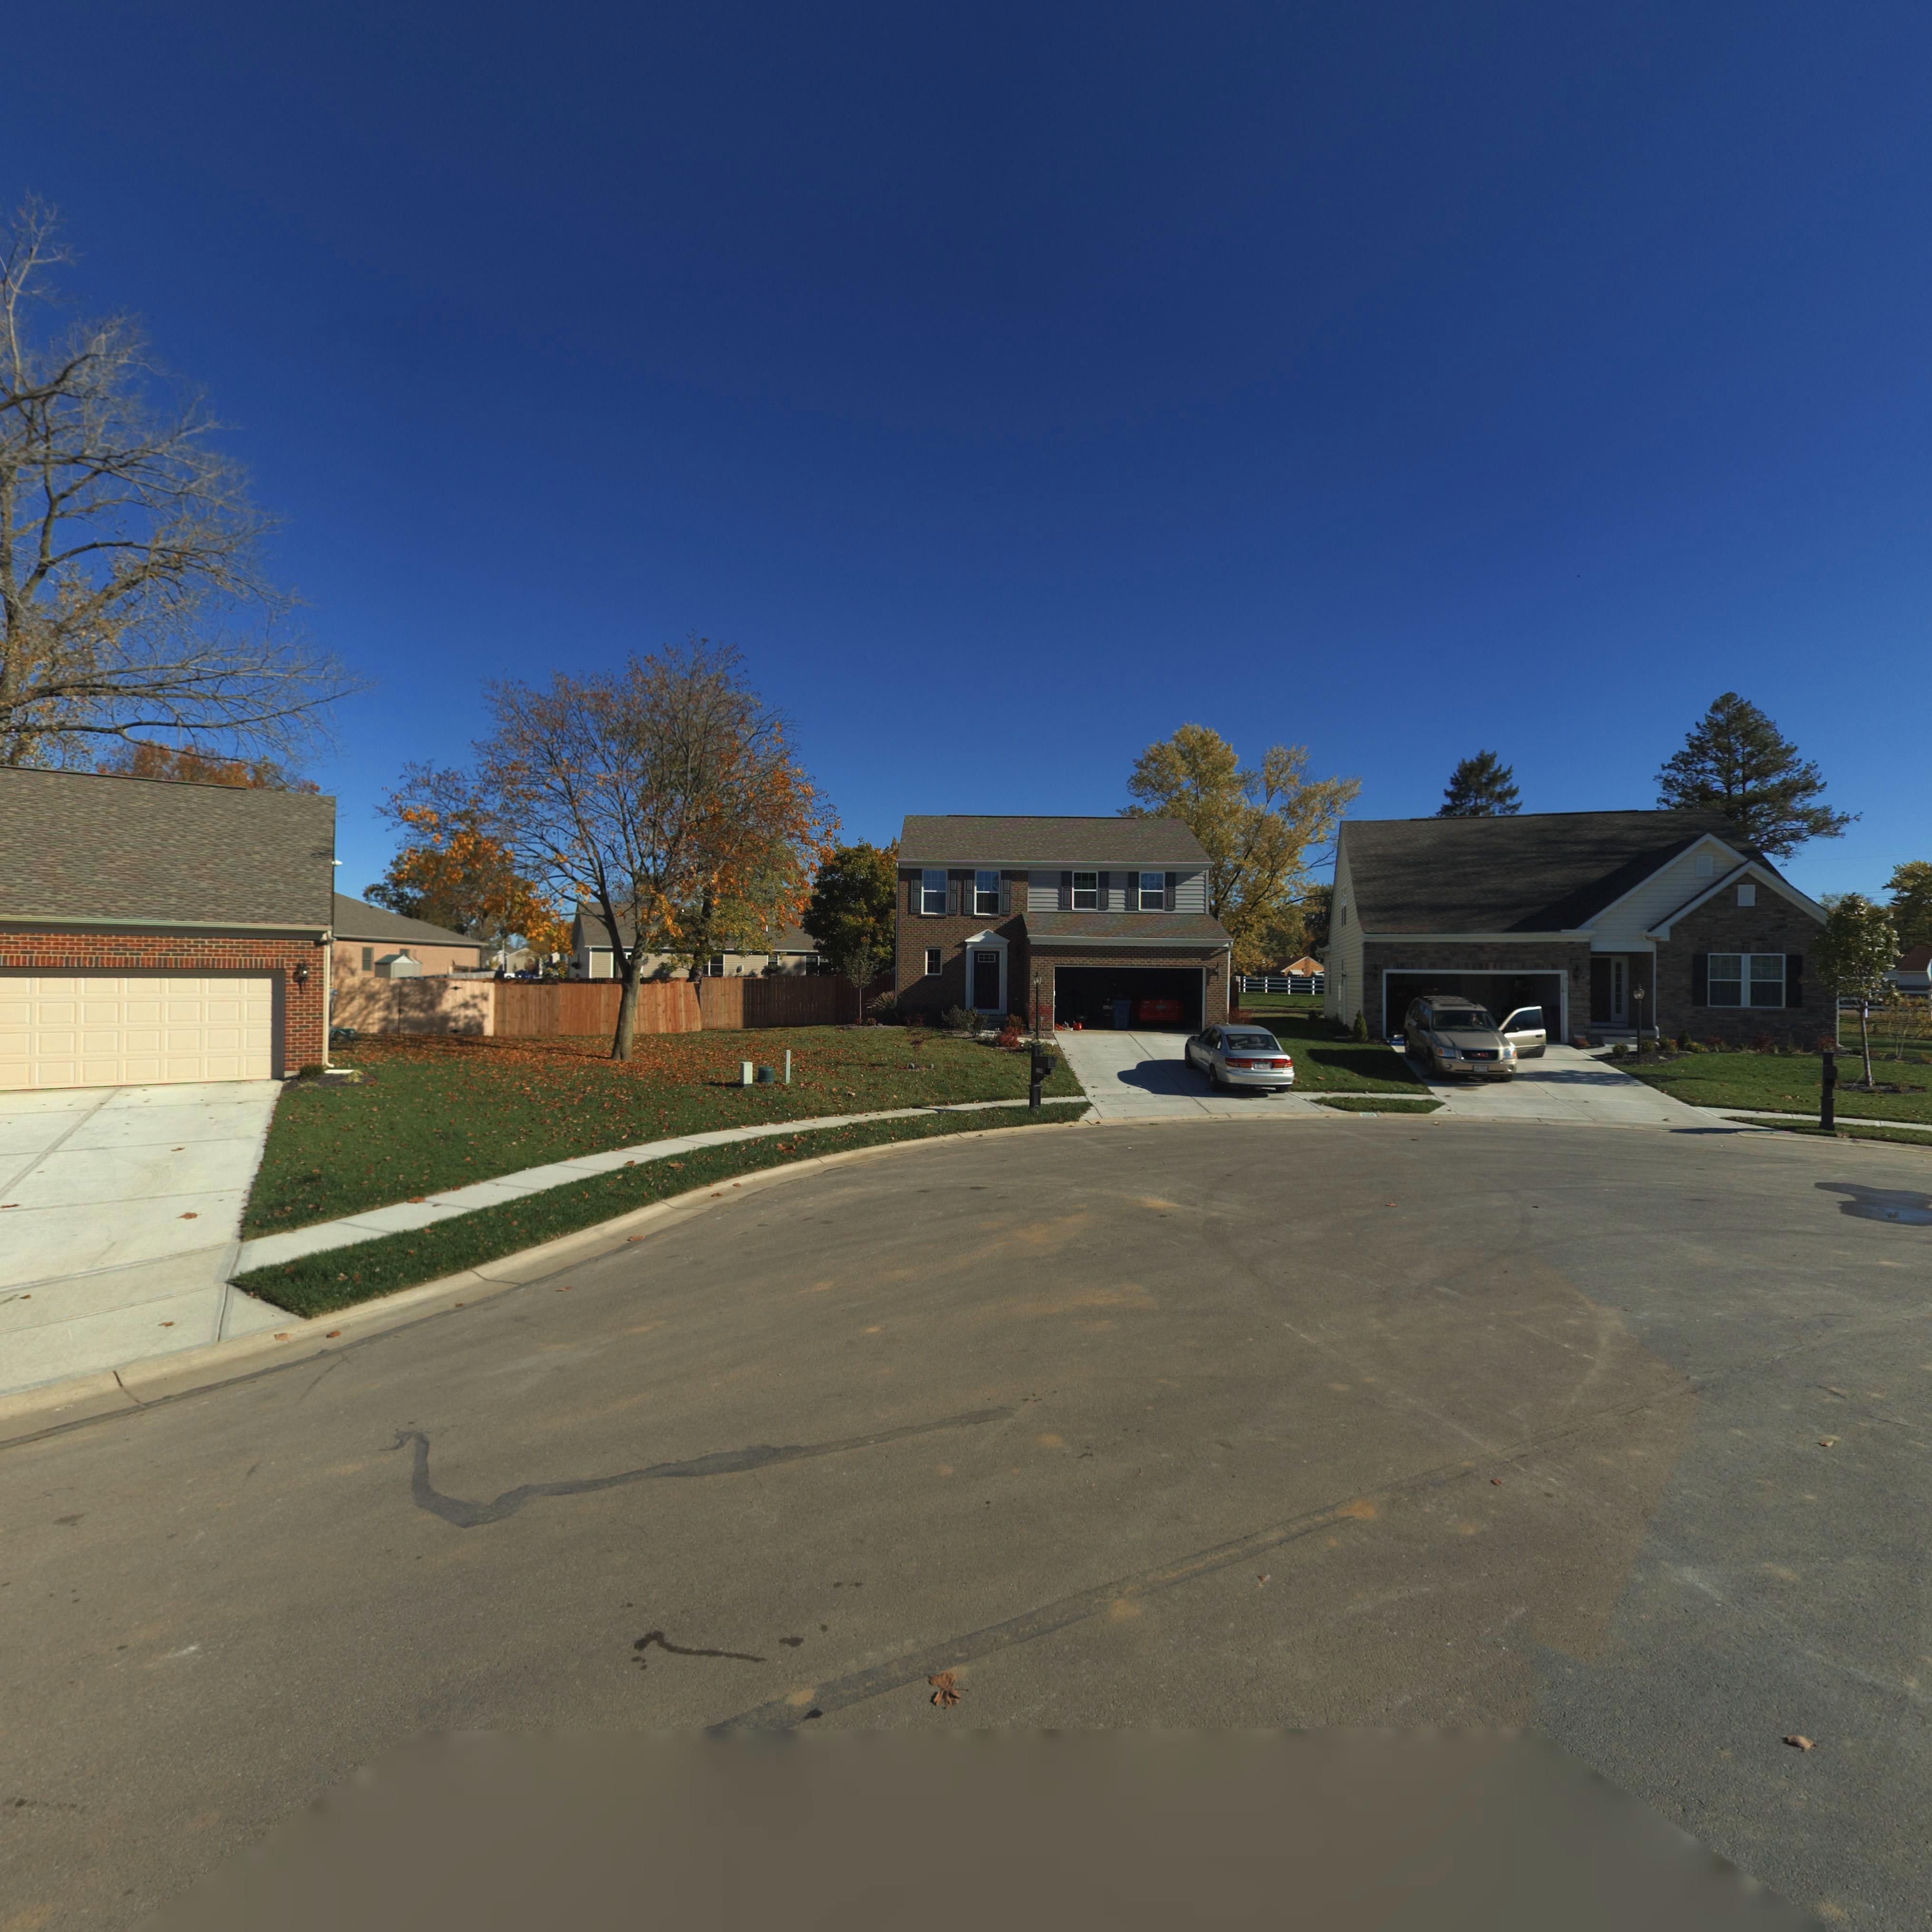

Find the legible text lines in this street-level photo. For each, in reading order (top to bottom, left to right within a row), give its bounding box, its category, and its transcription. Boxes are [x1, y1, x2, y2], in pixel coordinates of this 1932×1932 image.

[1564, 976, 1568, 993] StreetNumber: 3111
[1035, 1067, 1043, 1074] StreetNumber: 310*